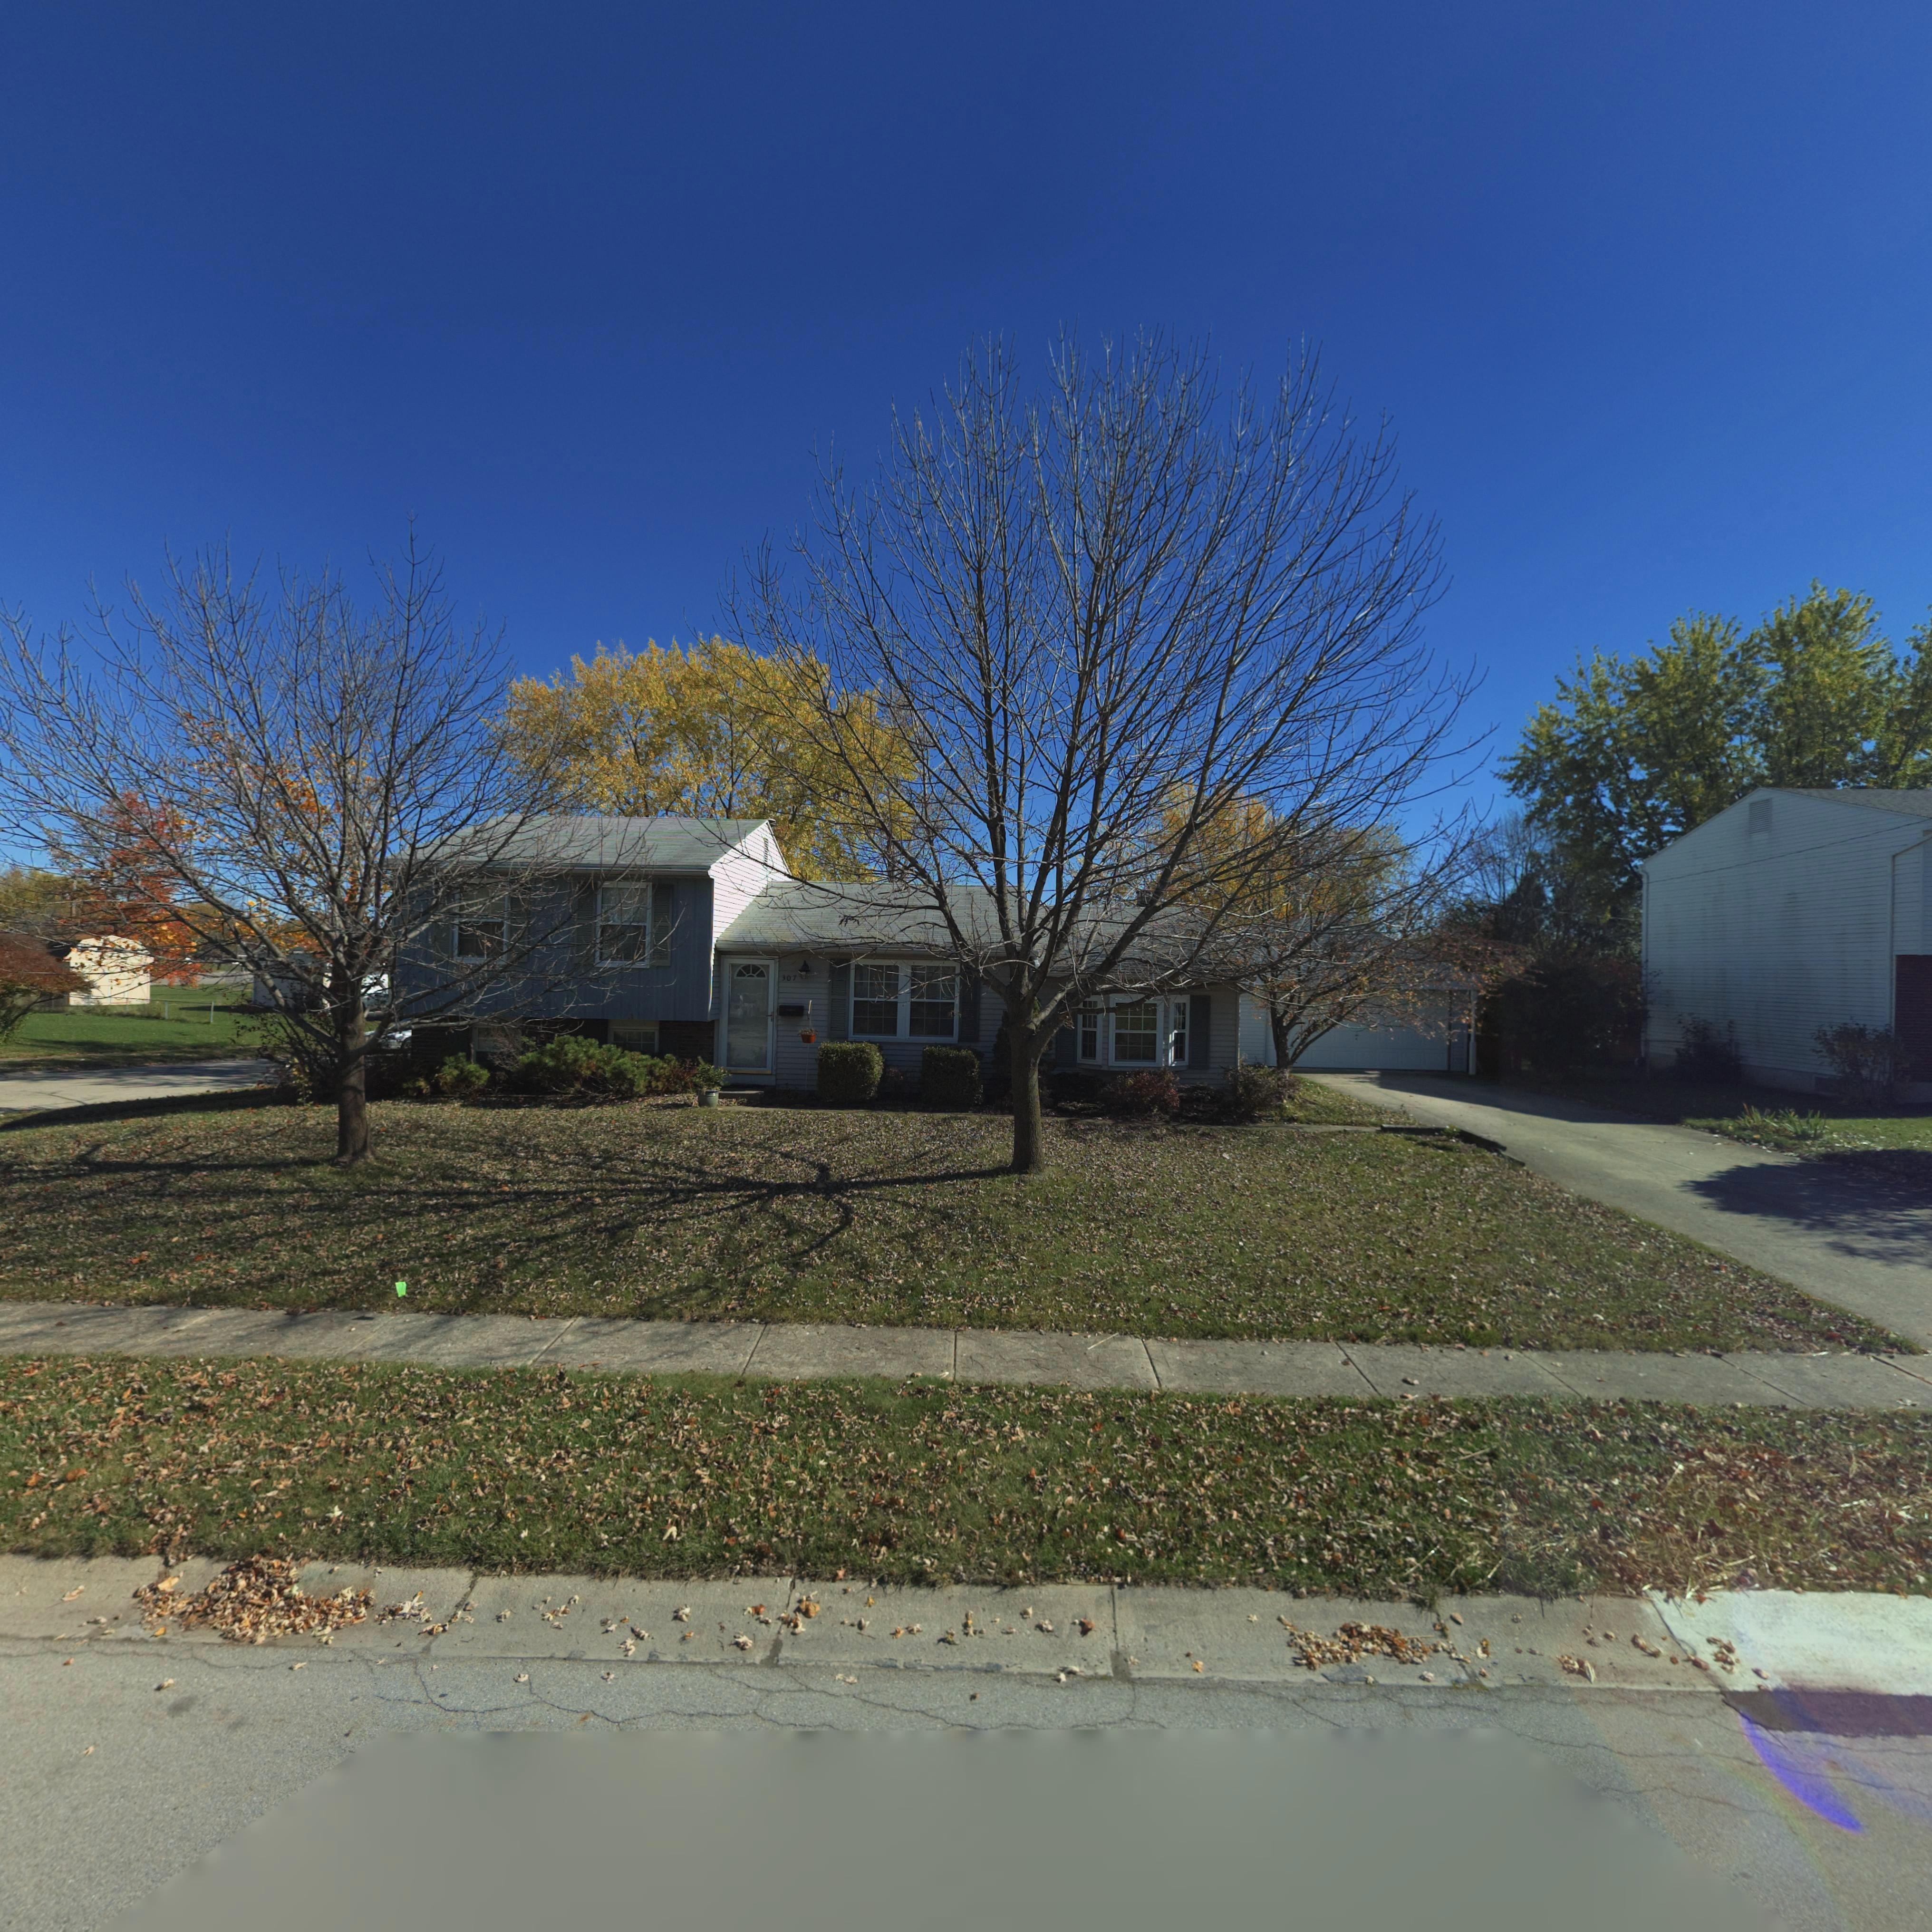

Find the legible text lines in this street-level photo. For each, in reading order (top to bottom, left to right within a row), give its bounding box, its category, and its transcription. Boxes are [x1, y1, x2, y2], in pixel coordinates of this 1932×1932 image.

[781, 974, 797, 982] StreetNumber: 307